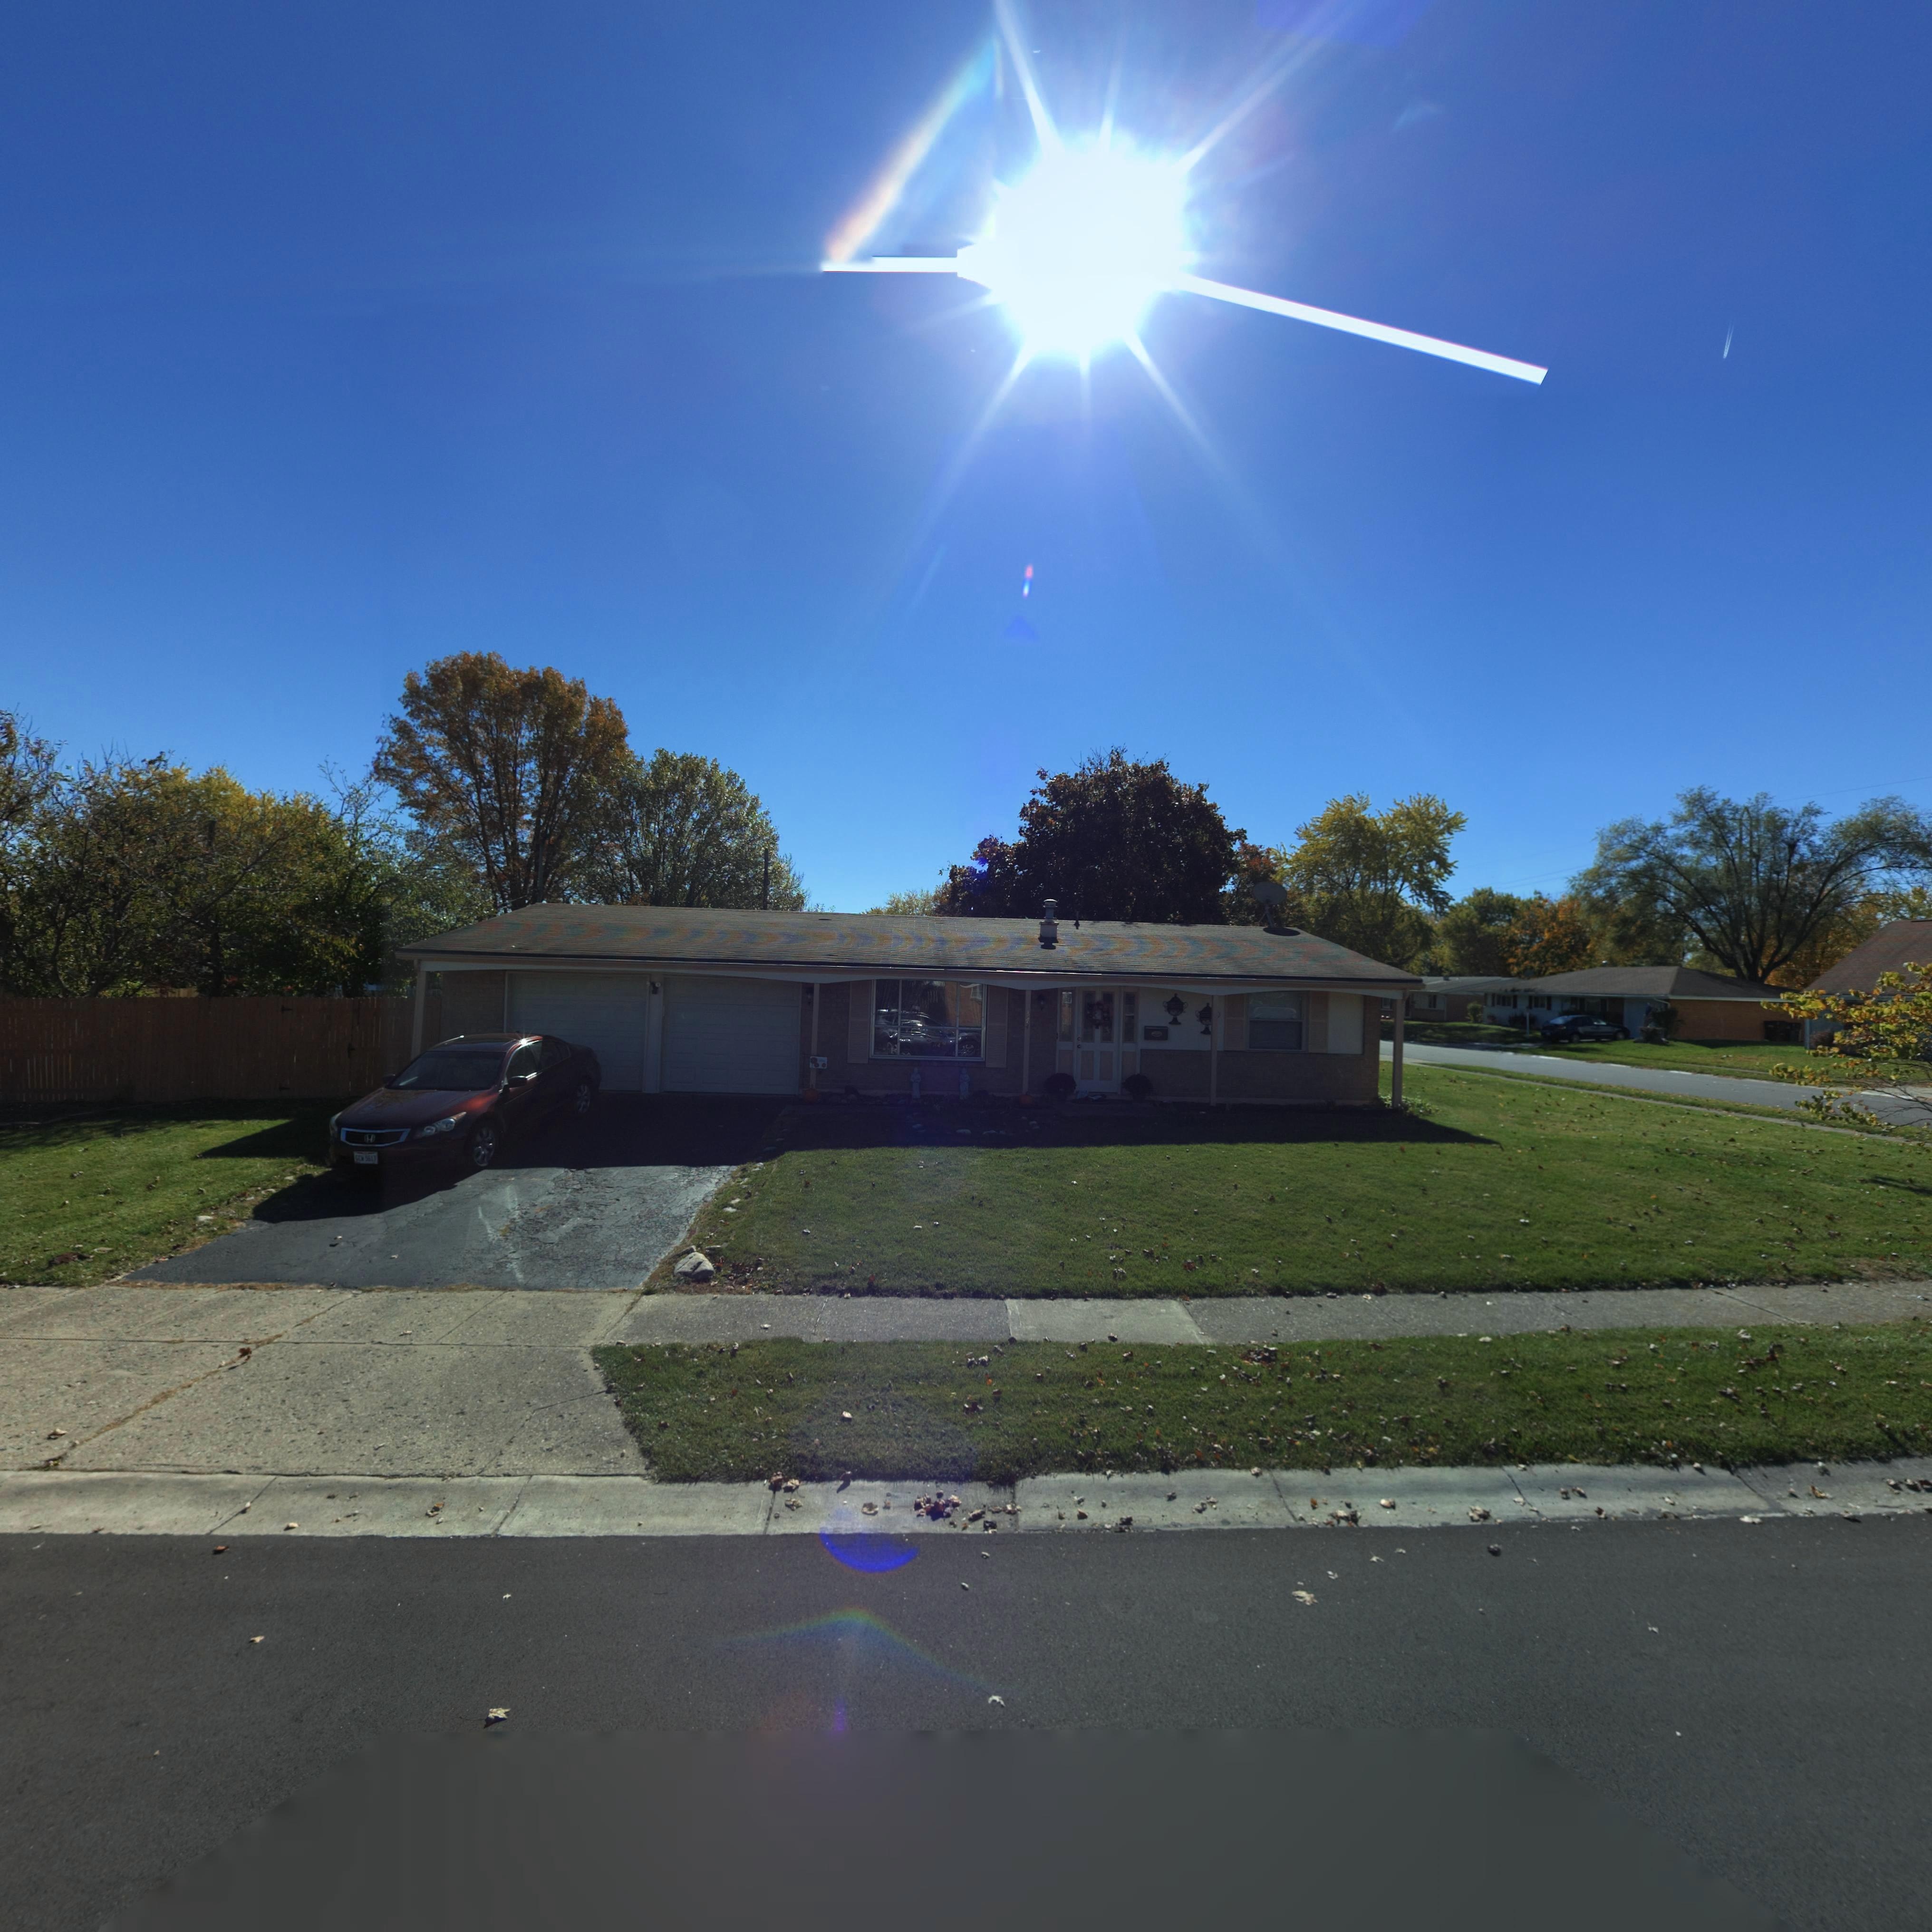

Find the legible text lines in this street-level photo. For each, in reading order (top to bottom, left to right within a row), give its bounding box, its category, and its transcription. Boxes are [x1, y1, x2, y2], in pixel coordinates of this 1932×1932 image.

[1025, 1009, 1030, 1031] StreetNumber: 34*